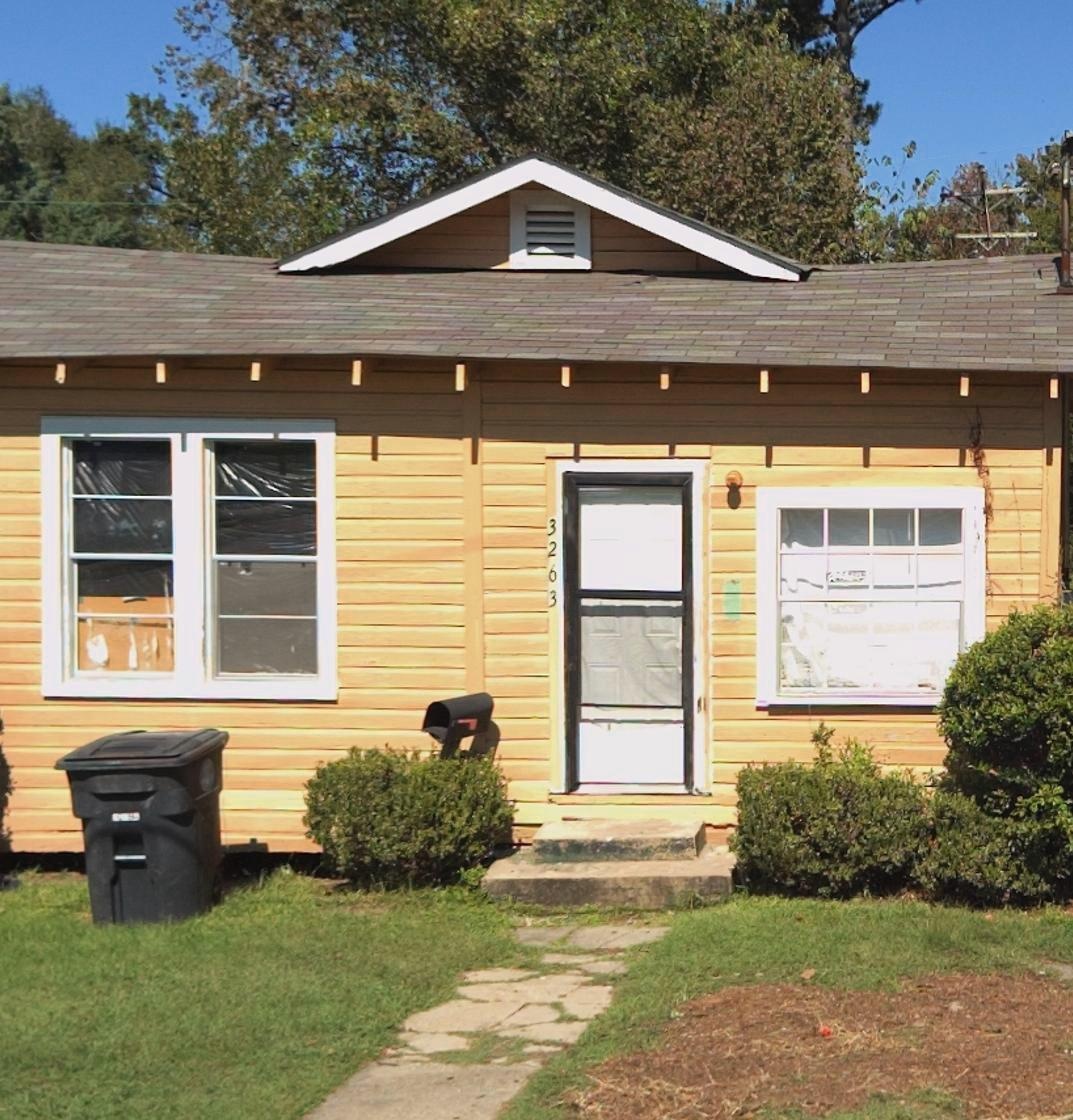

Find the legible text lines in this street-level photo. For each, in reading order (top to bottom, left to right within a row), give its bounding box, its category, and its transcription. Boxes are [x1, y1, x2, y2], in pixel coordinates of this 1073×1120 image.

[547, 517, 559, 610] StreetNumber: 3263